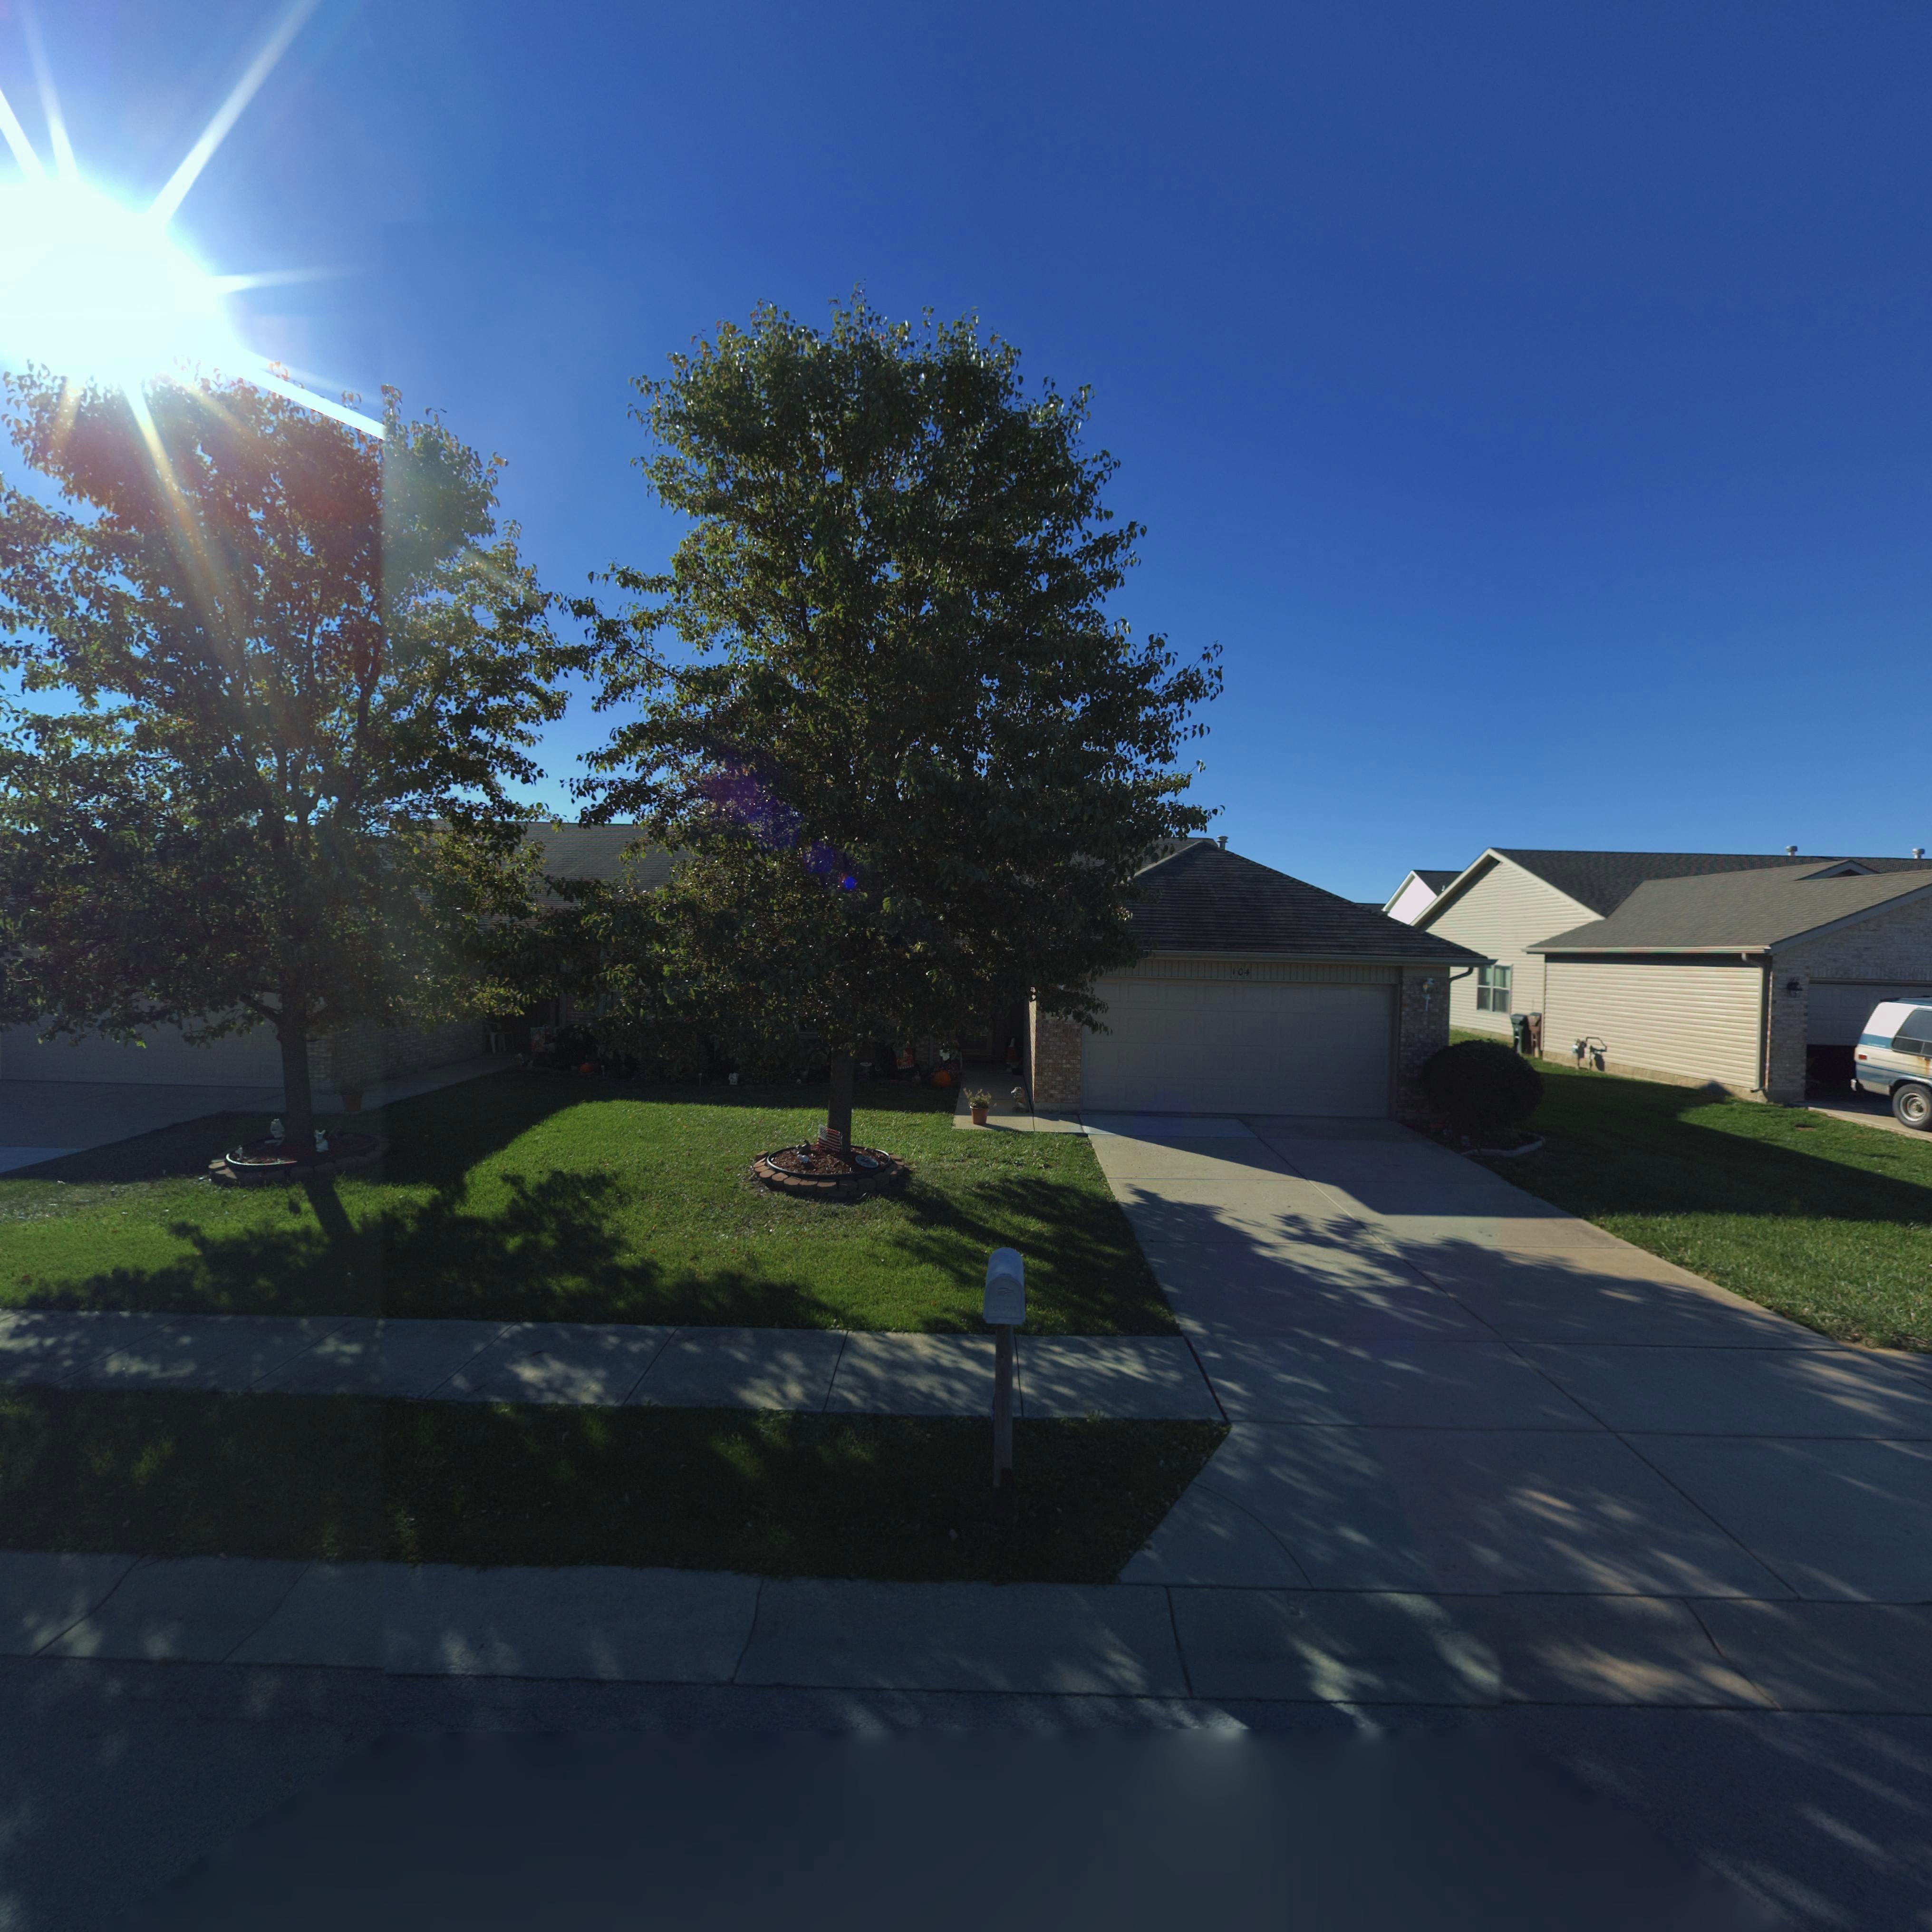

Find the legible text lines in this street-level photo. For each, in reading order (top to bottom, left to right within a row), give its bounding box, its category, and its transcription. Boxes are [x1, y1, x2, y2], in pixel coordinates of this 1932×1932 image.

[1231, 967, 1251, 977] StreetNumber: 104